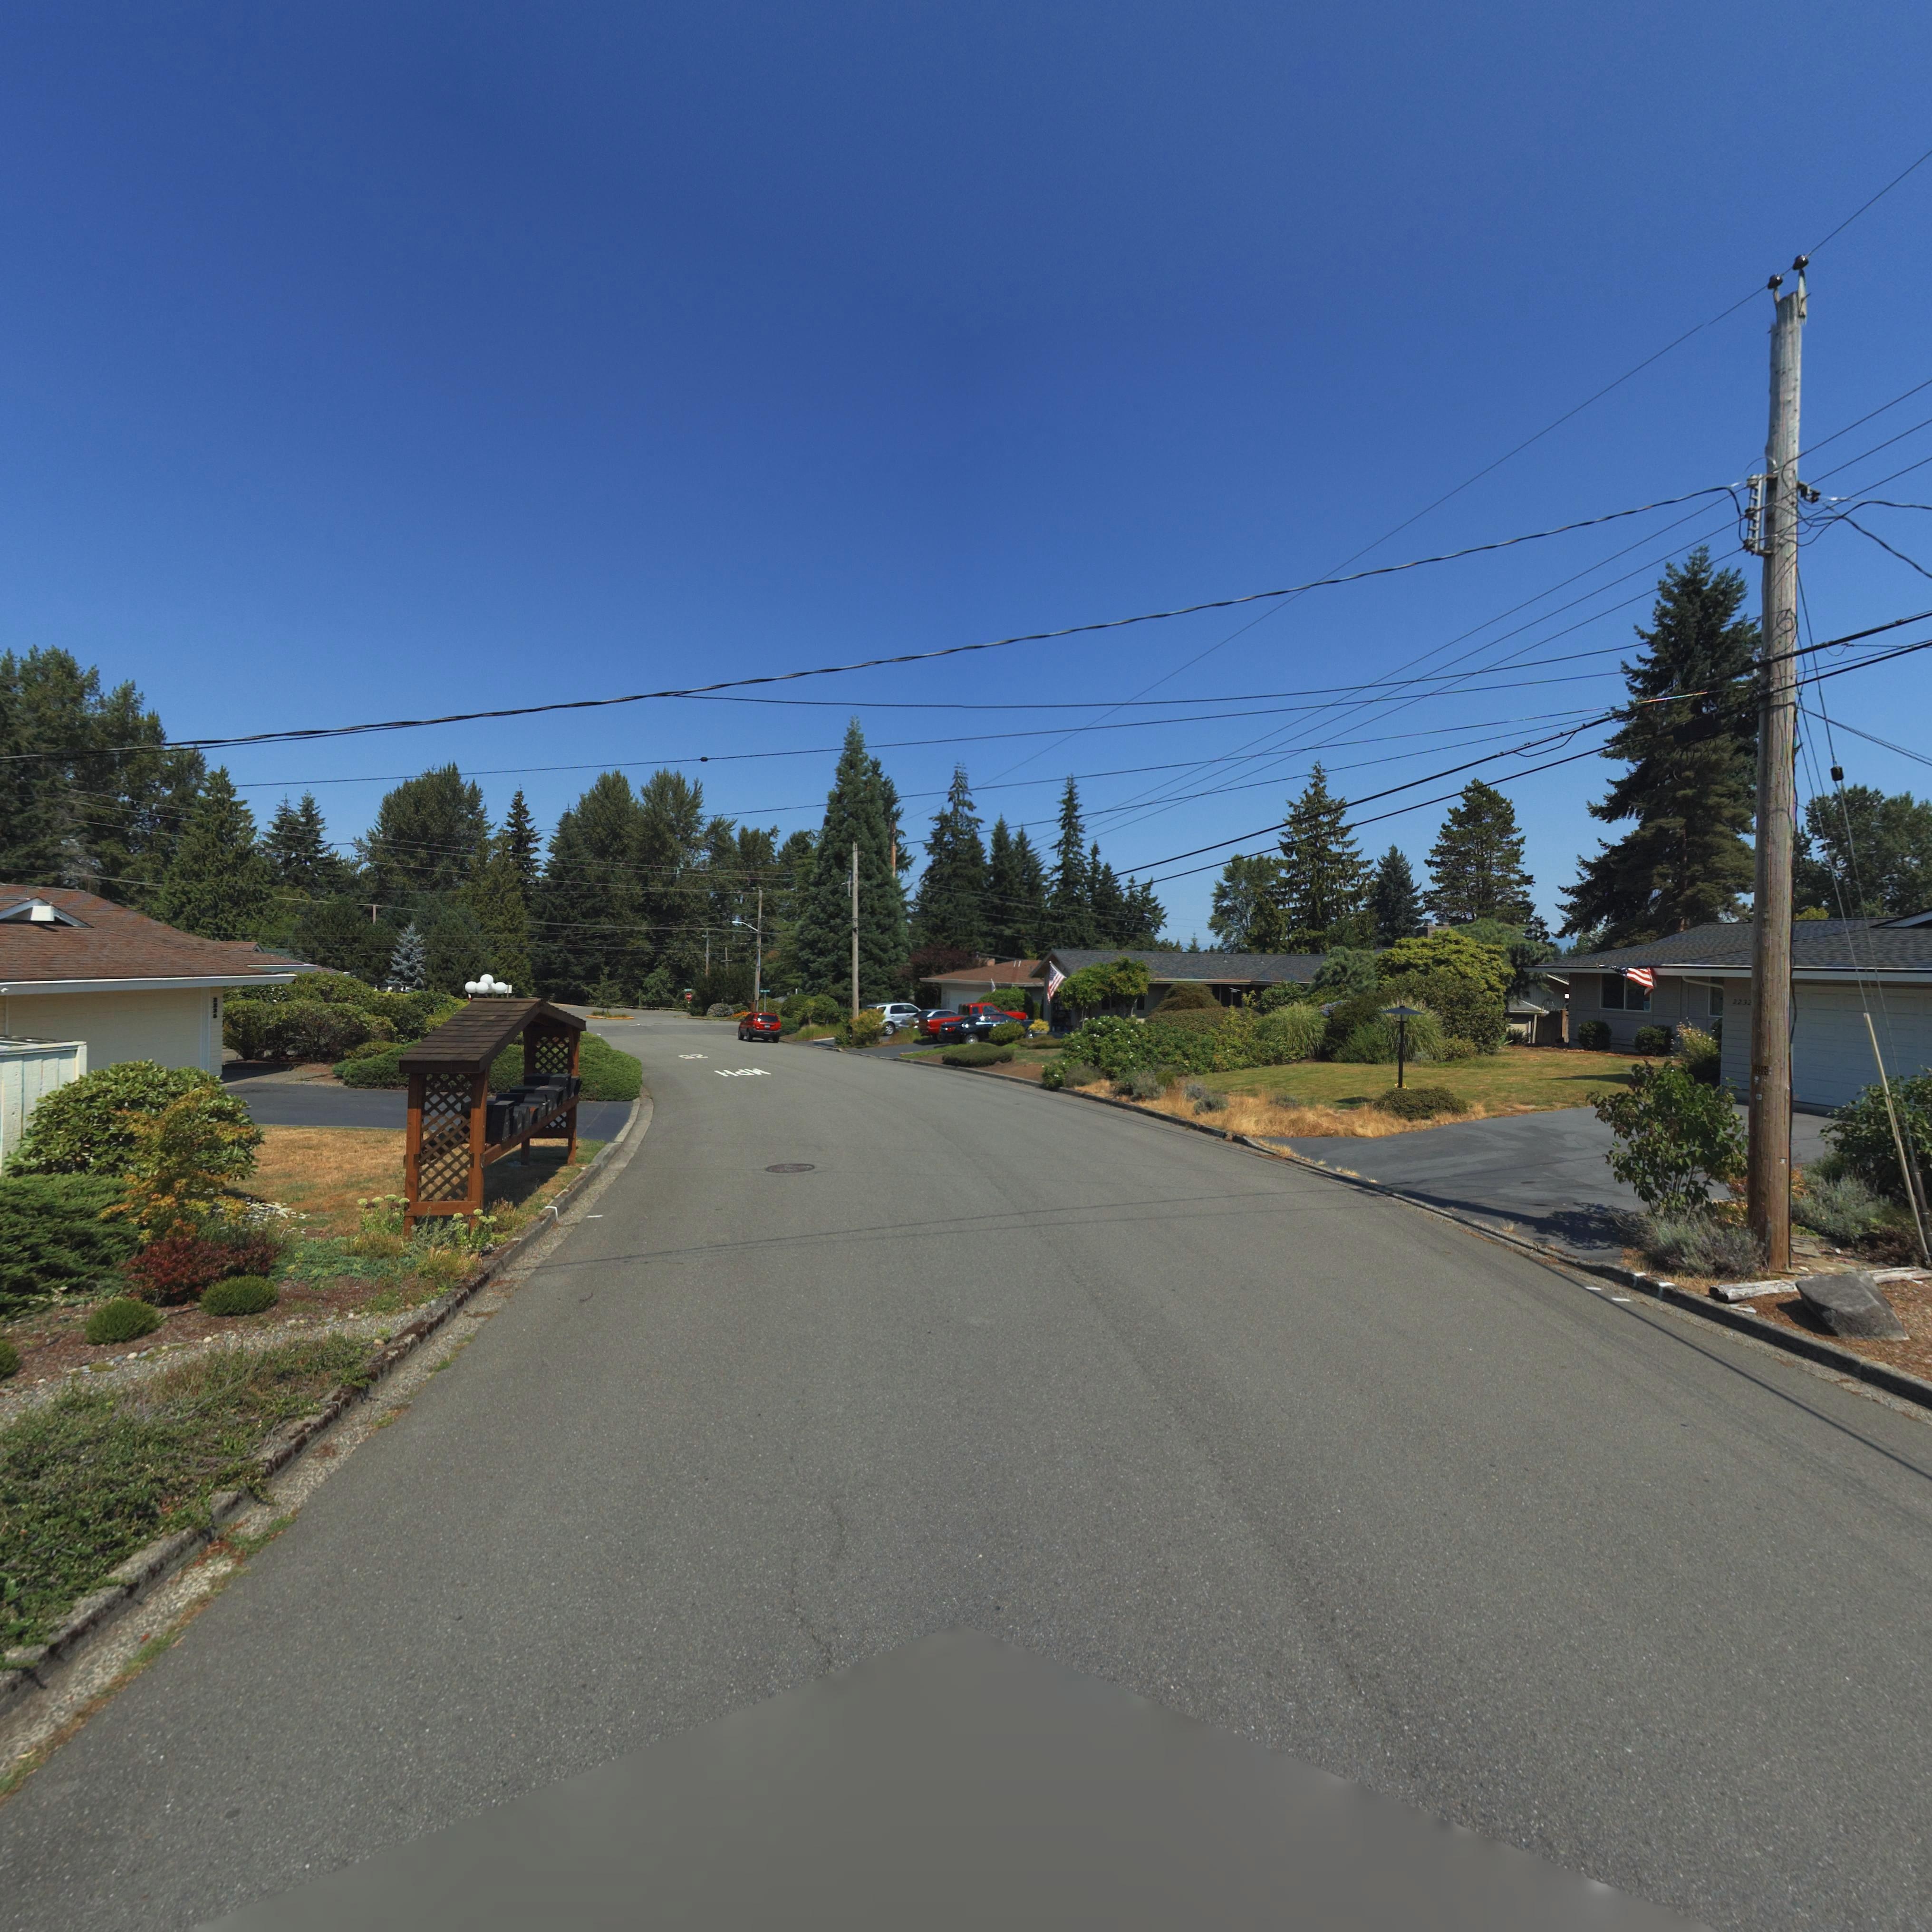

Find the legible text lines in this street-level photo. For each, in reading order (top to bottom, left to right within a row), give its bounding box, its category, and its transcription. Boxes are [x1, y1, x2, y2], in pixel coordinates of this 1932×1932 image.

[1732, 998, 1751, 1005] StreetNumber: 2232